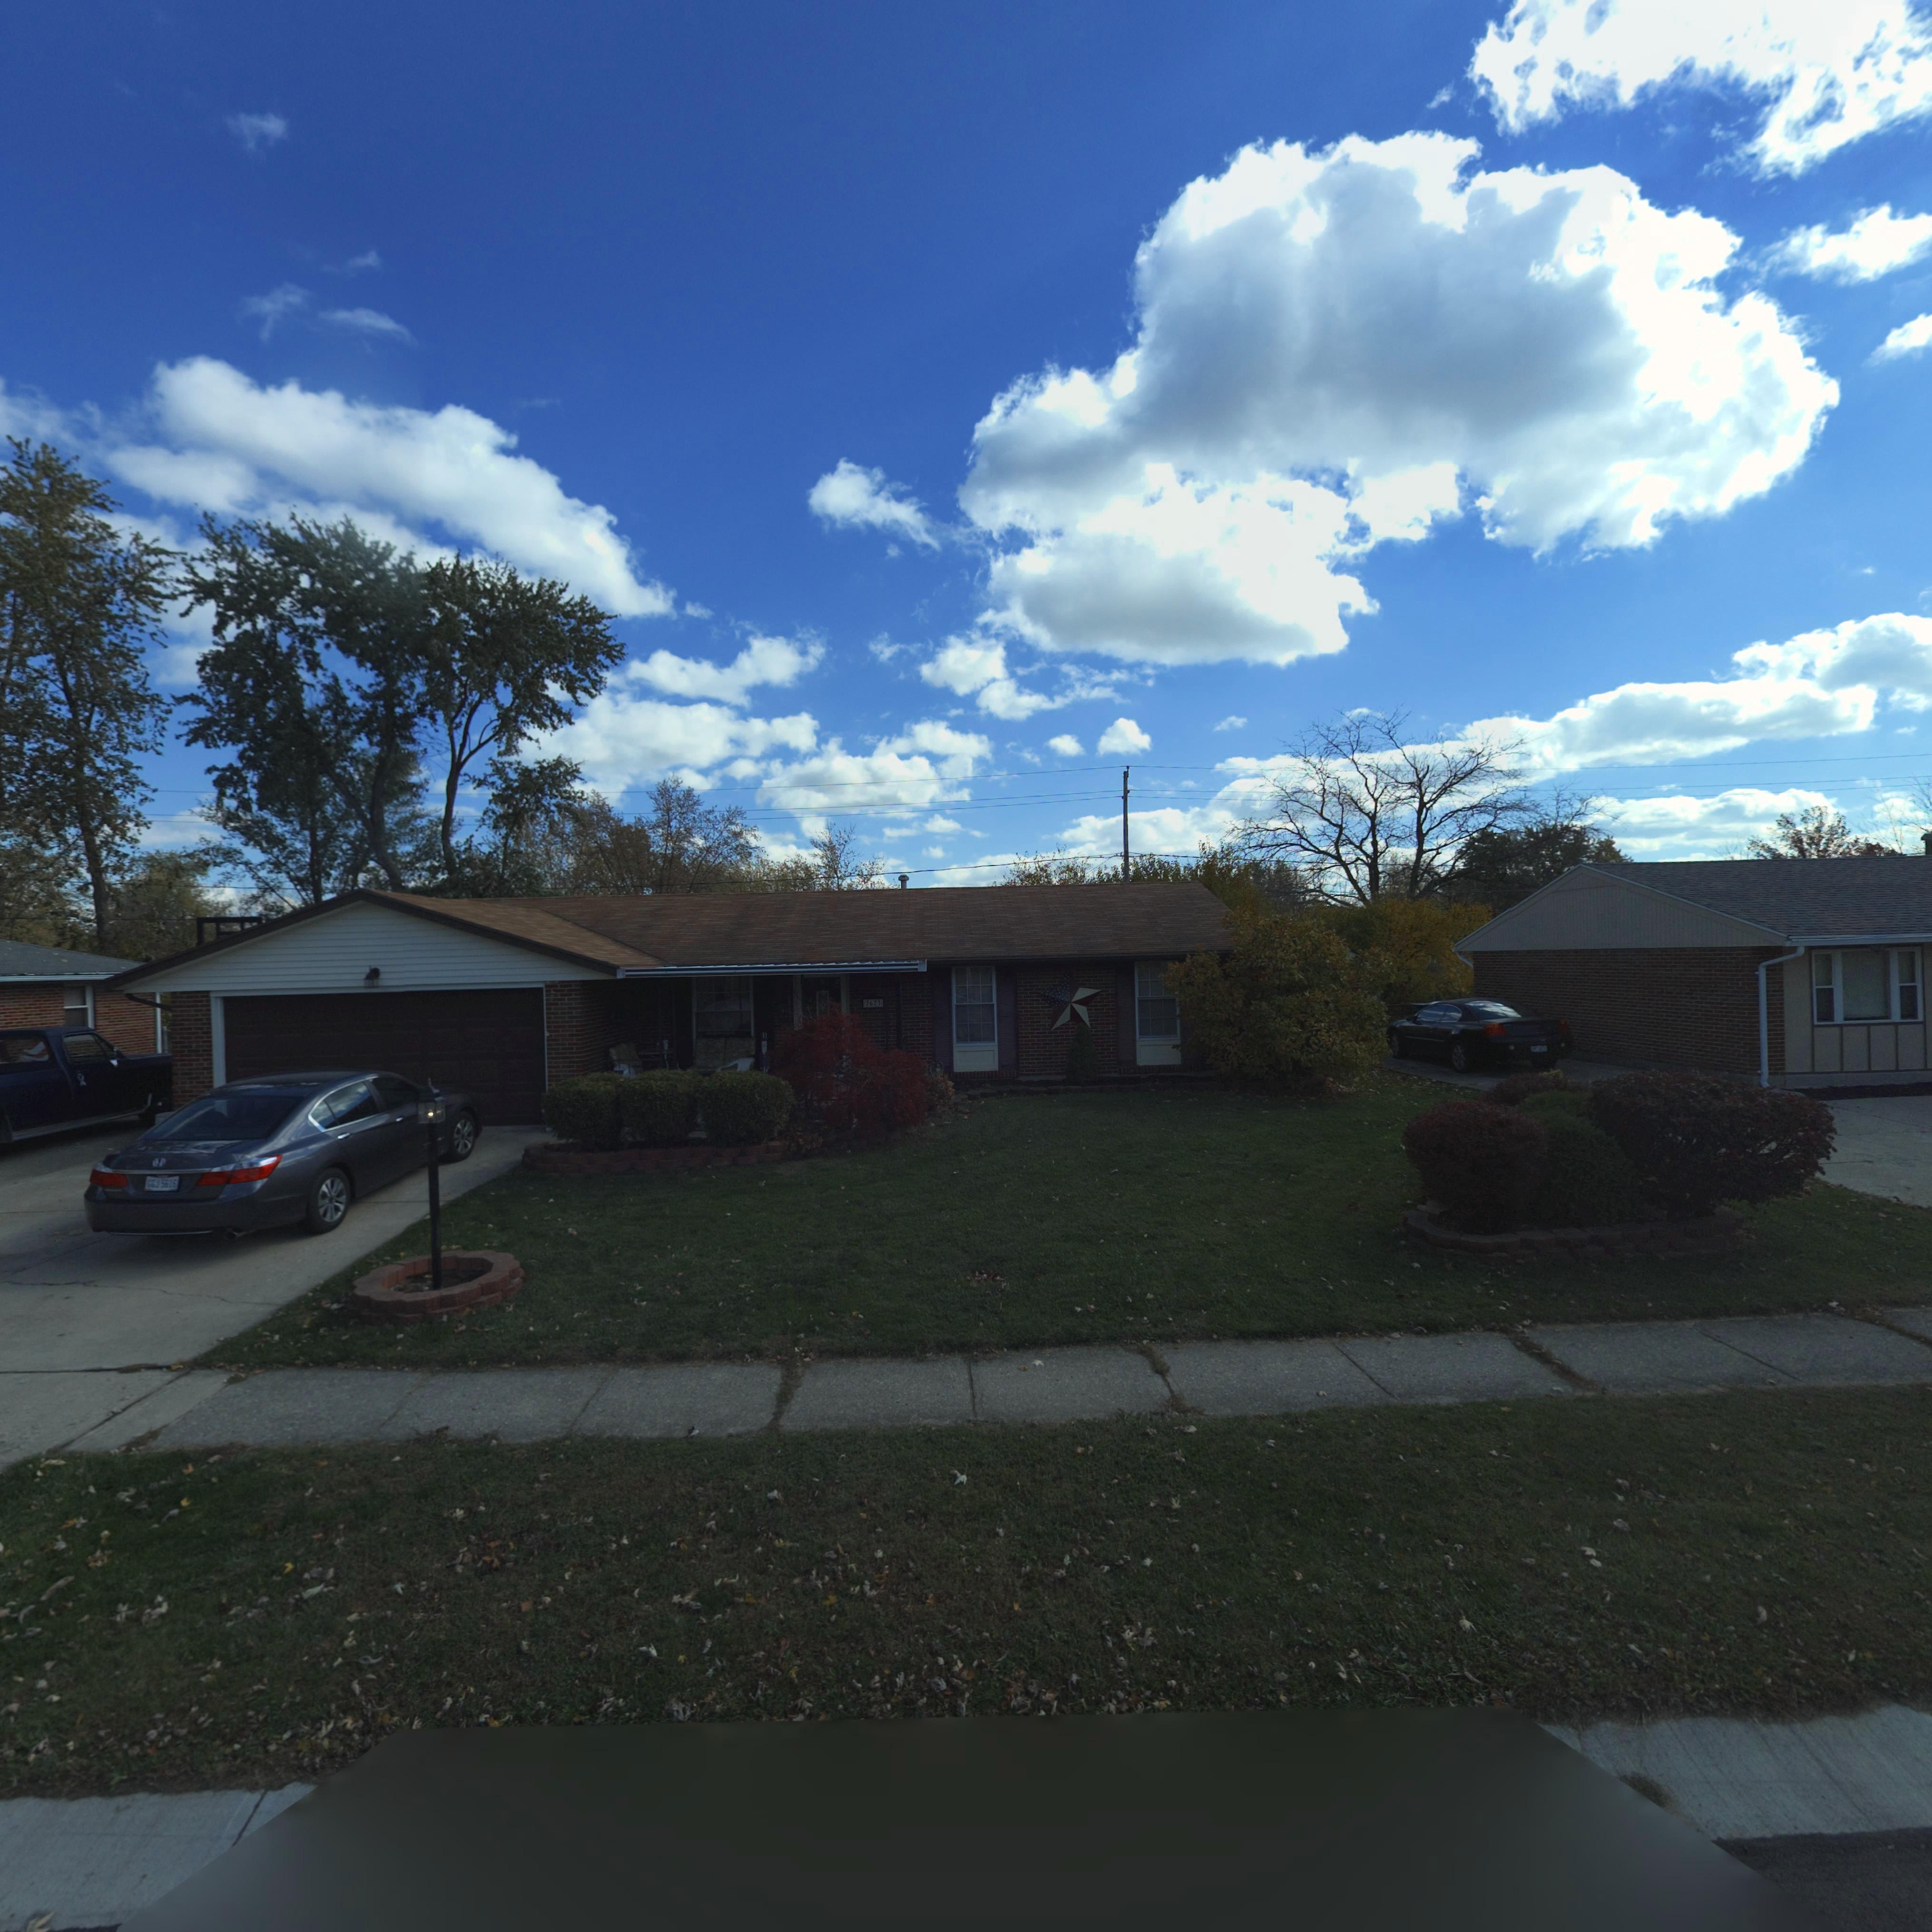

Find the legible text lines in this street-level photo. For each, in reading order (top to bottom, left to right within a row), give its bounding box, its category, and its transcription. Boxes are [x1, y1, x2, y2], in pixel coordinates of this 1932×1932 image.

[865, 1000, 881, 1006] StreetNumber: 7673